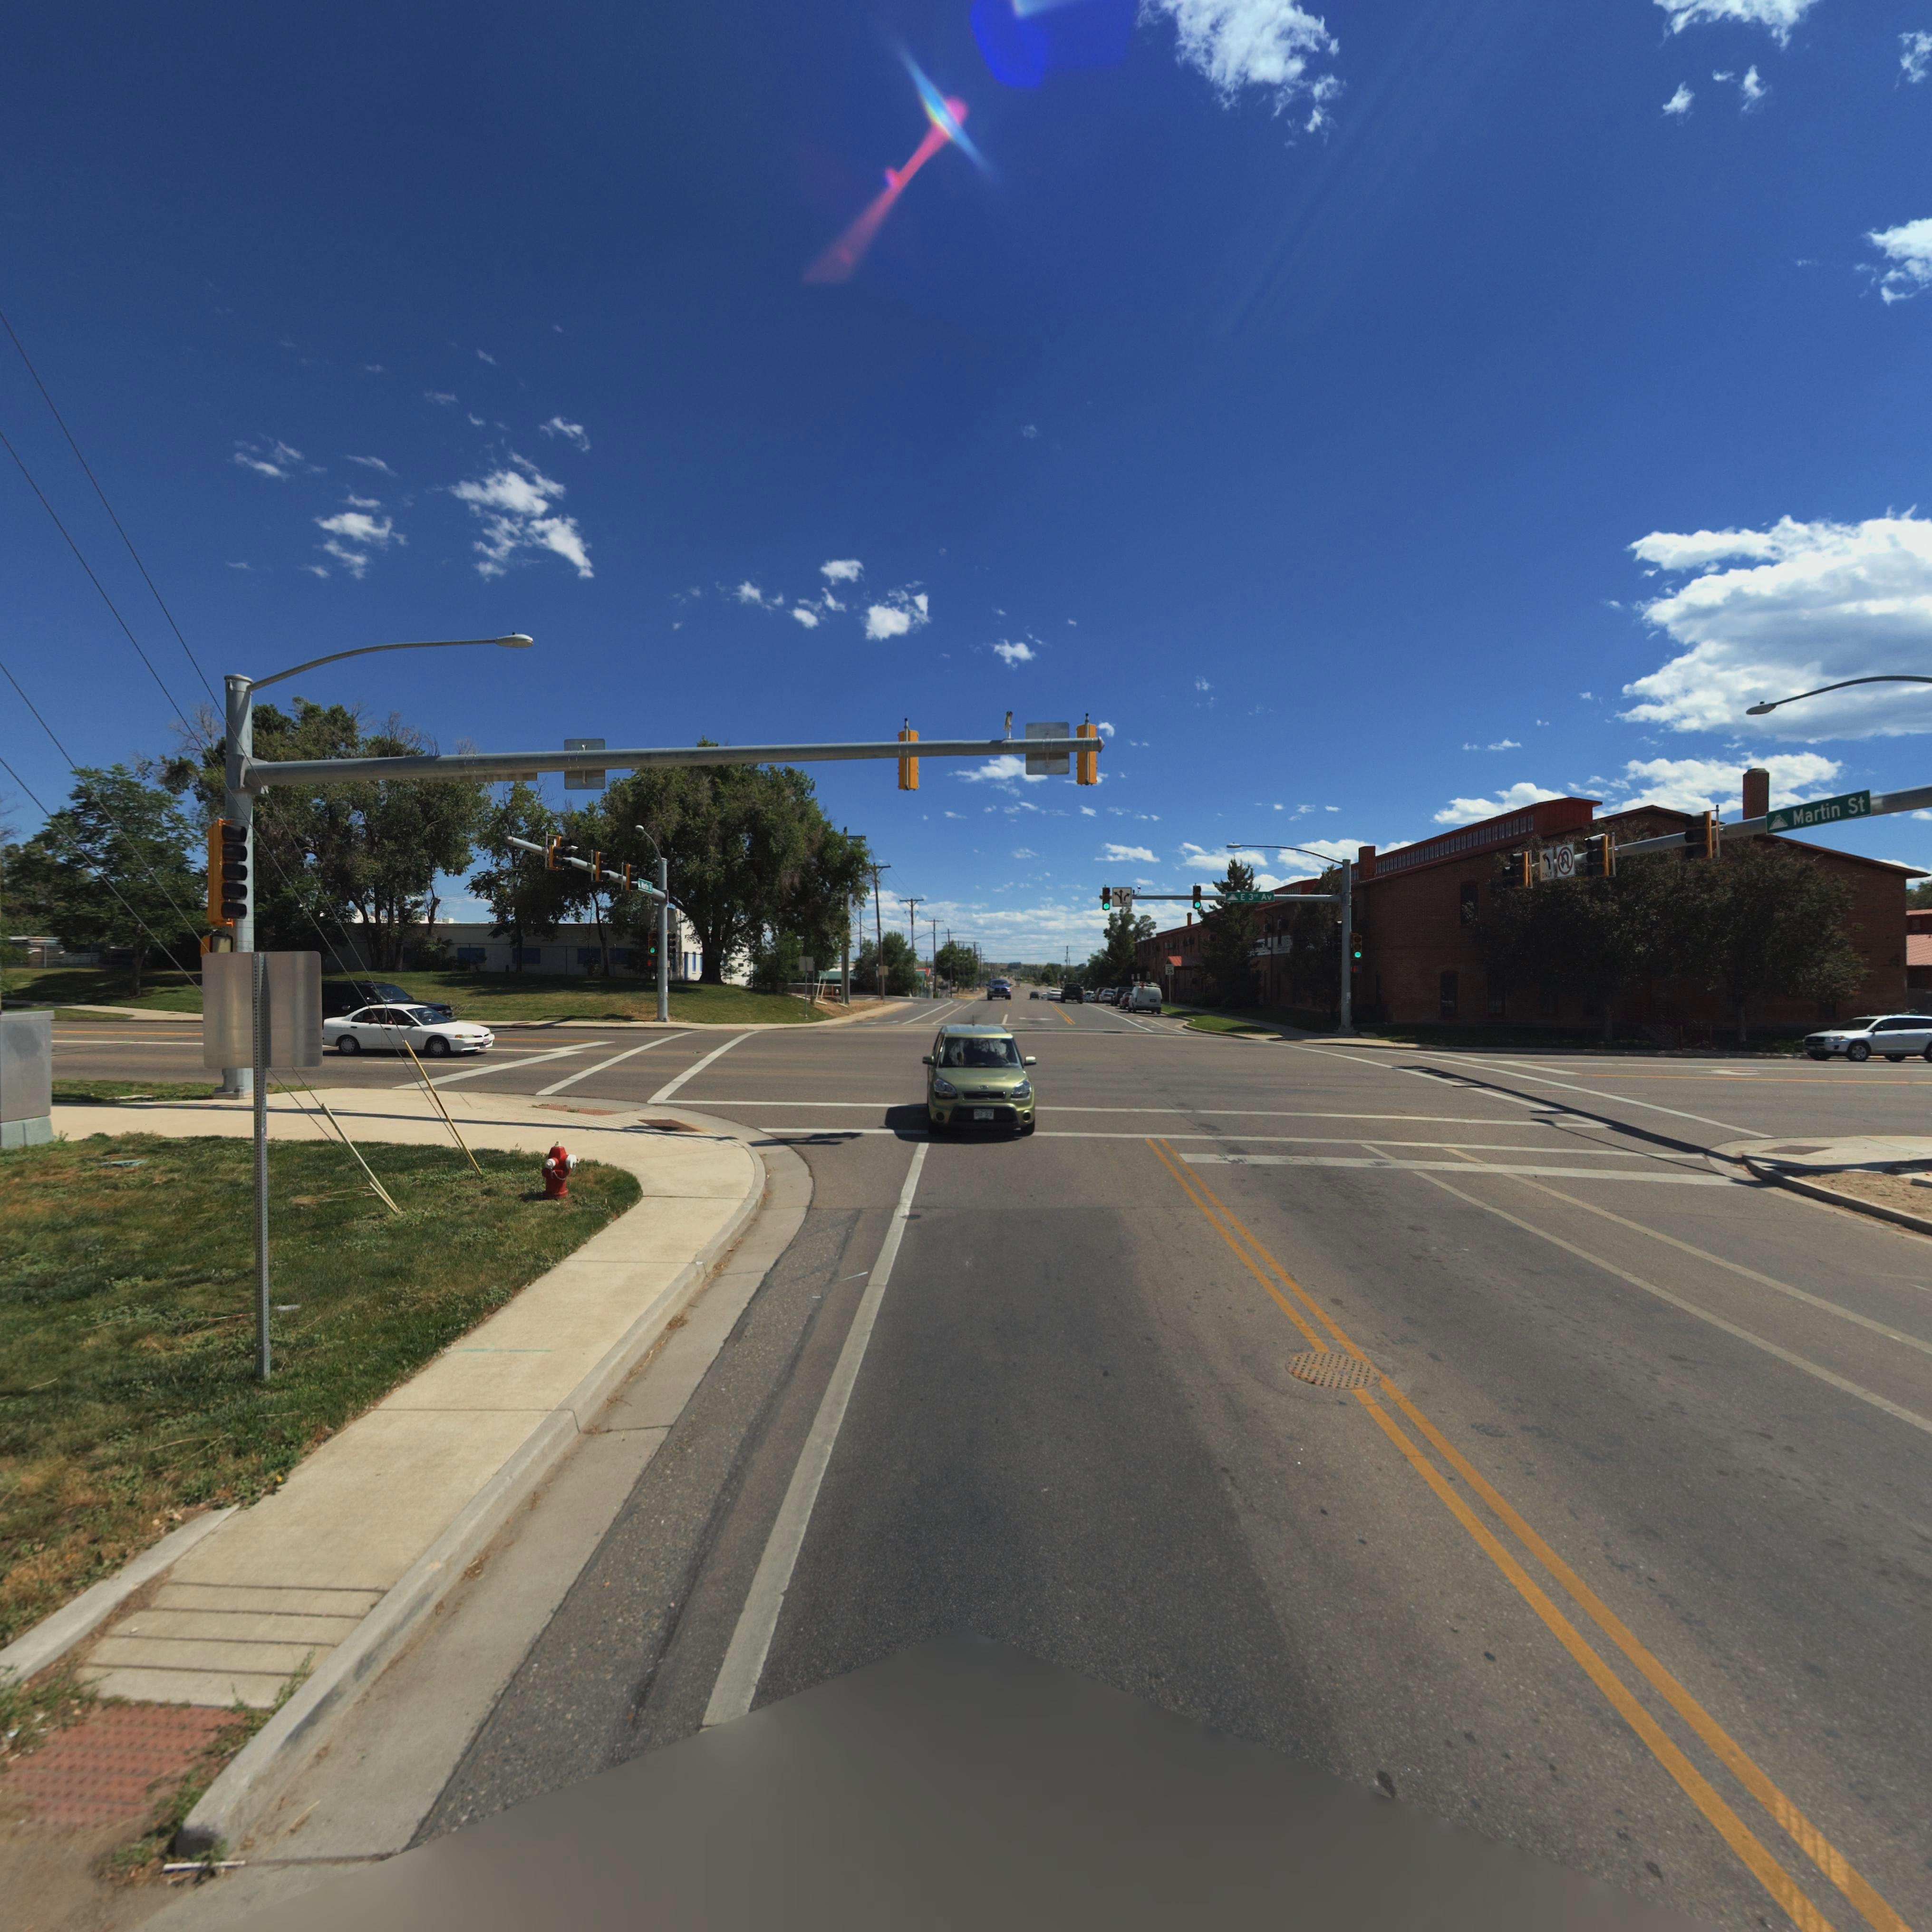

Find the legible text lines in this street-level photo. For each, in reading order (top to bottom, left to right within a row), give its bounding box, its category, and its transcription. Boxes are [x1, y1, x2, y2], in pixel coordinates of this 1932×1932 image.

[1792, 796, 1866, 826] StreetName: Martin St
[641, 880, 652, 891] BusinessName: Martin St
[1240, 893, 1272, 900] StreetName: E 3rd Av